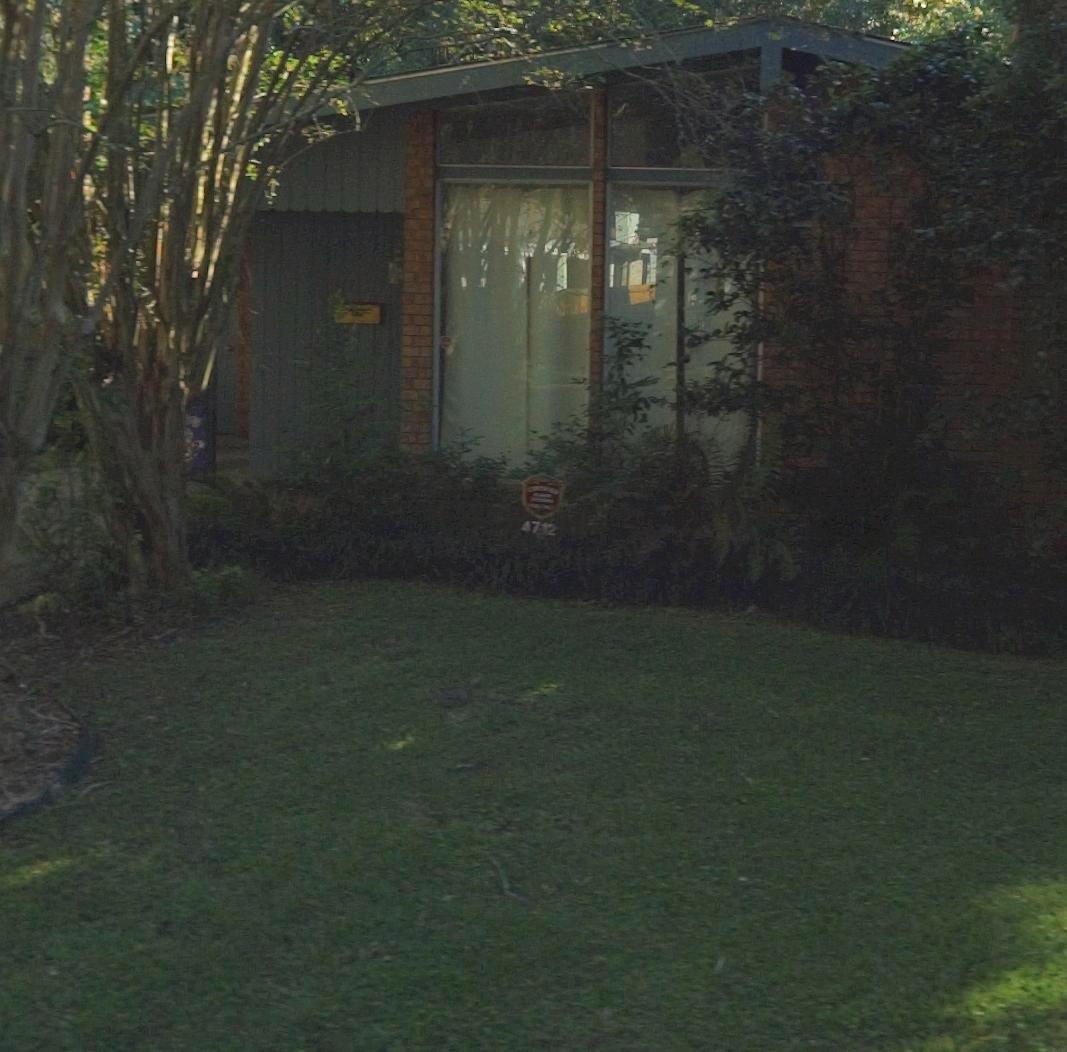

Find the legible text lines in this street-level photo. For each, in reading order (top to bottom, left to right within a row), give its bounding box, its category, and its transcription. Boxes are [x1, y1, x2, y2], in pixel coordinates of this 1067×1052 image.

[518, 518, 559, 540] StreetNumber: 47*2